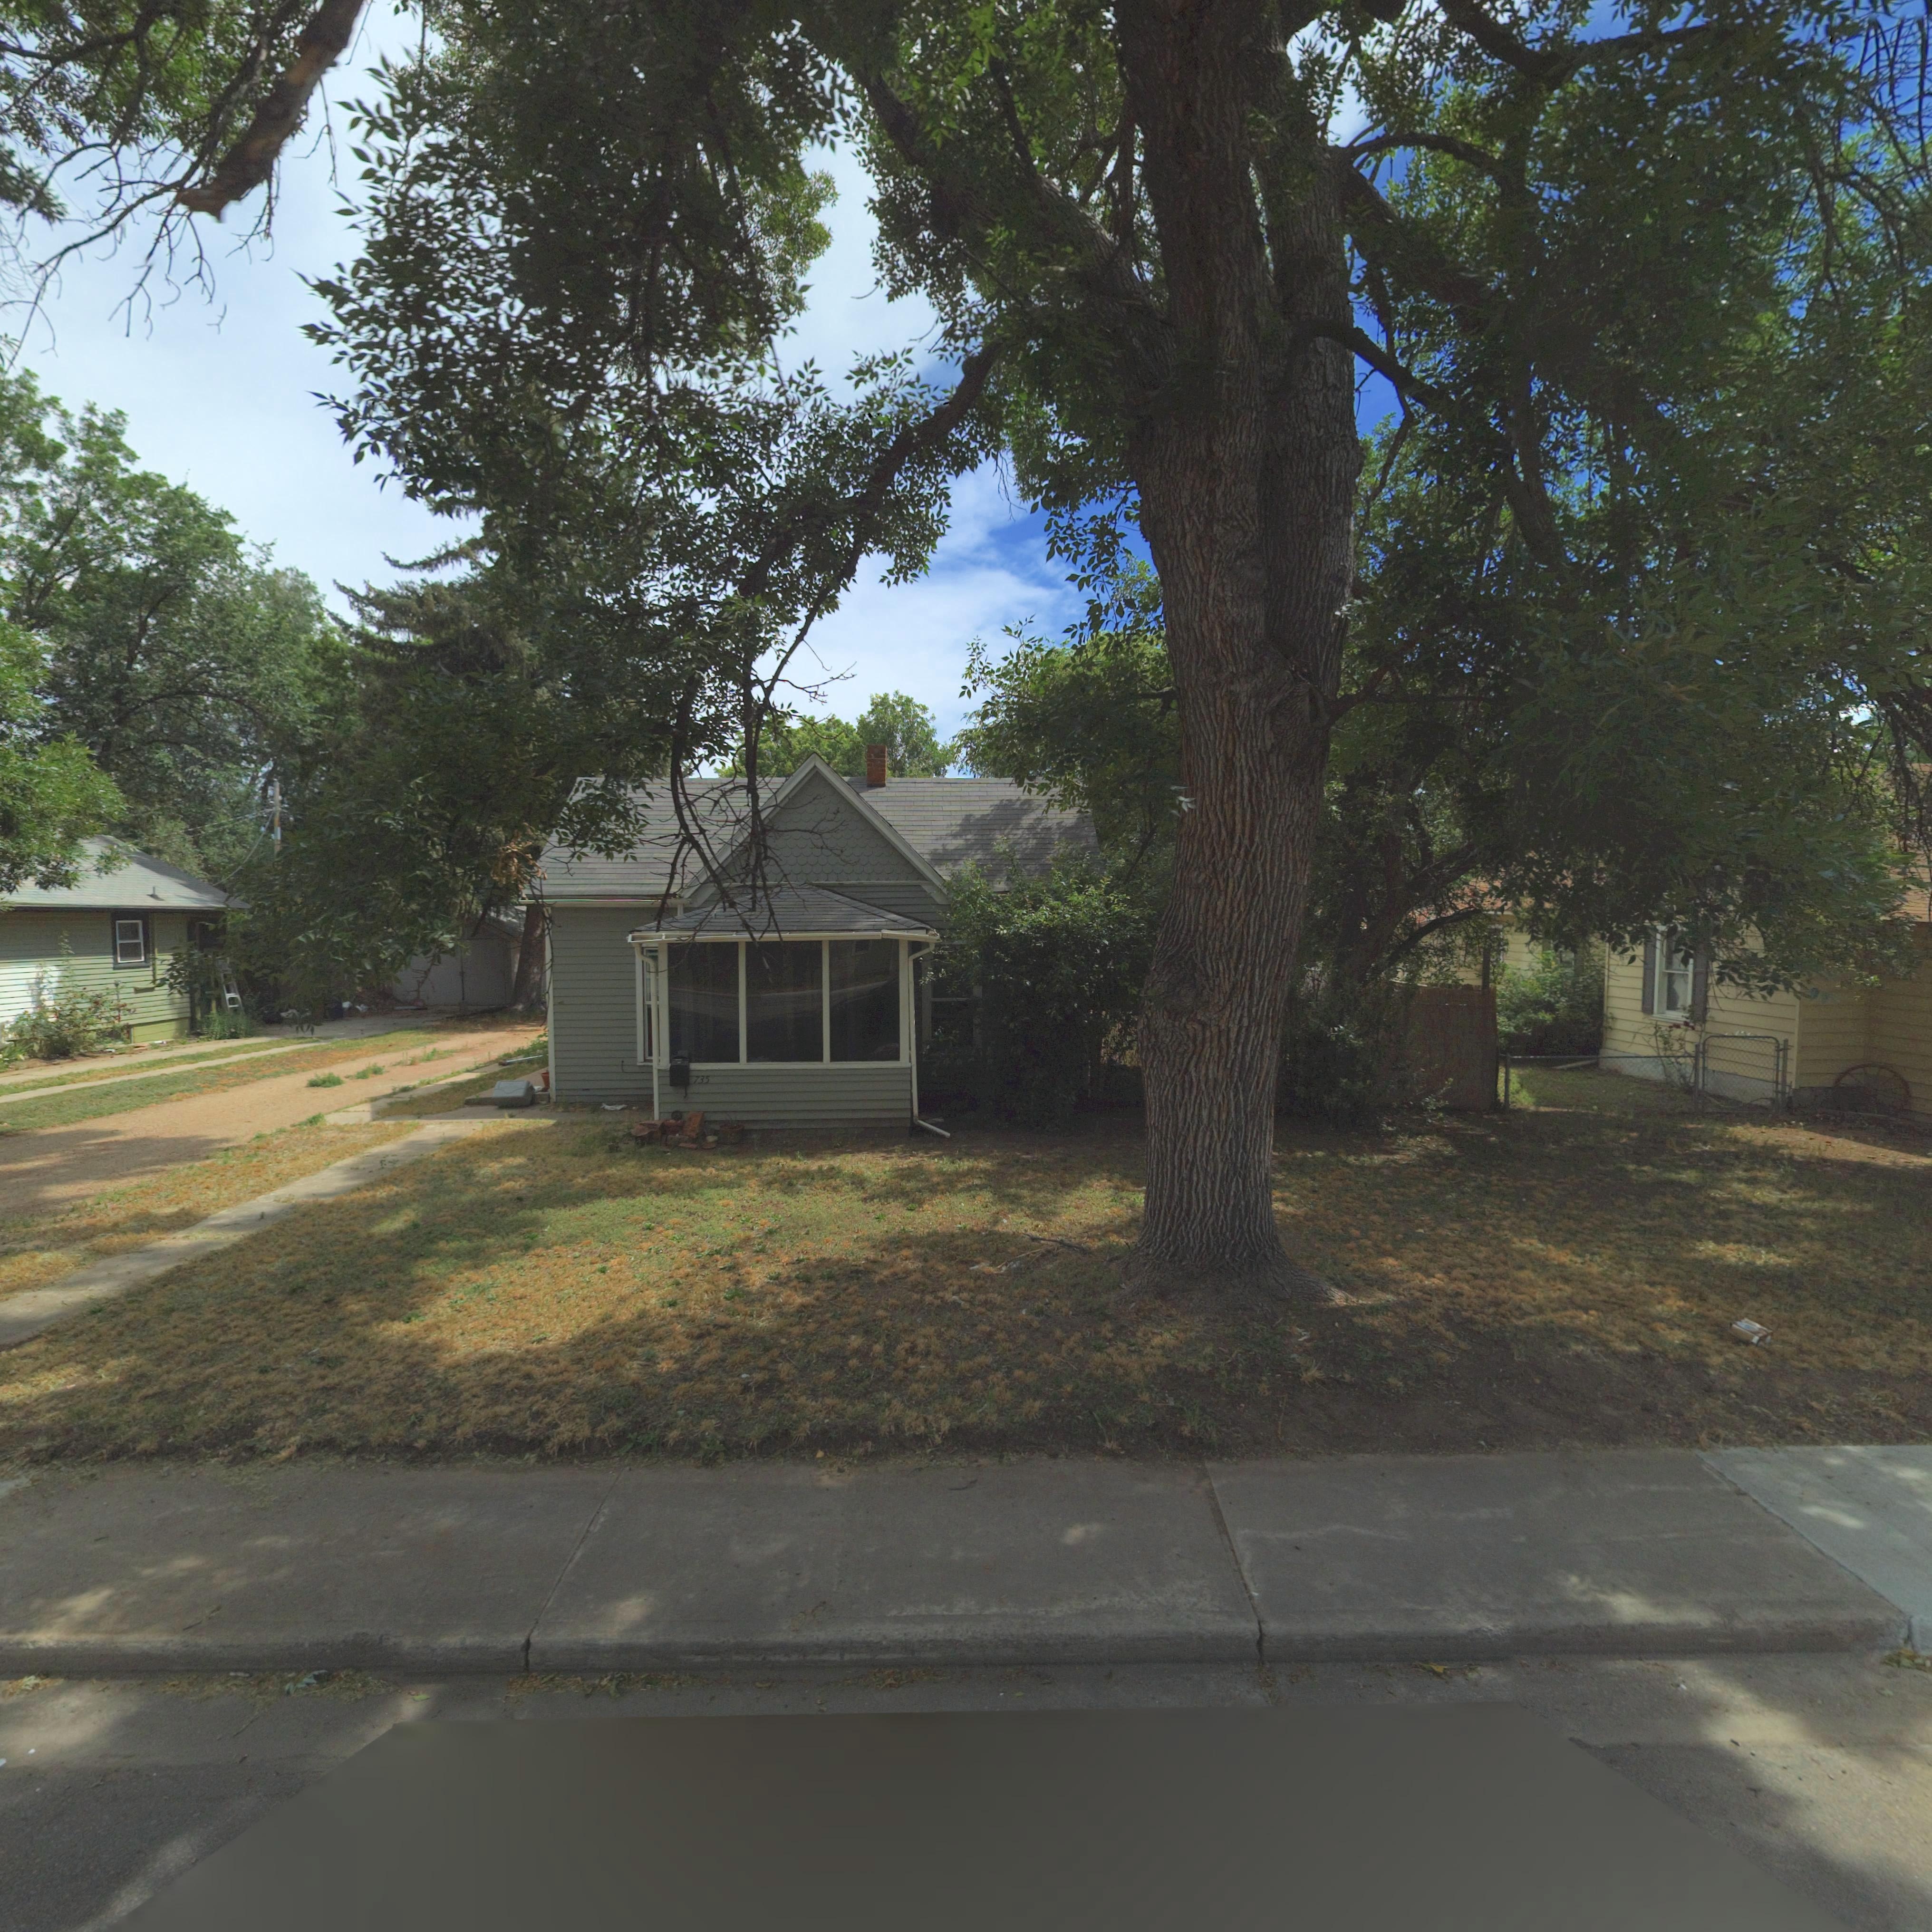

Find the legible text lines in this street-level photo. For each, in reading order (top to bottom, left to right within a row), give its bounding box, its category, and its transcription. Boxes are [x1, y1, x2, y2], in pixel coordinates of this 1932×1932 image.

[693, 1075, 710, 1083] StreetNumber: 735